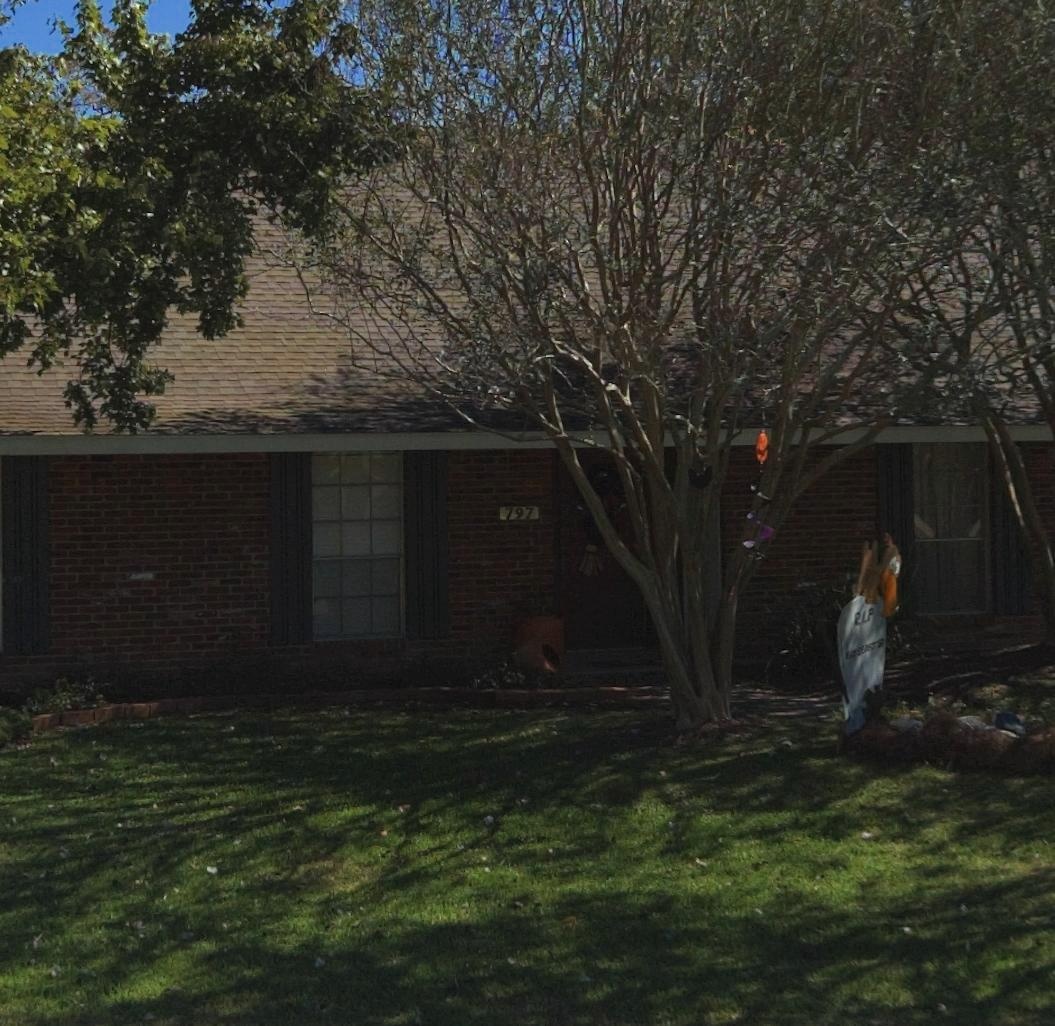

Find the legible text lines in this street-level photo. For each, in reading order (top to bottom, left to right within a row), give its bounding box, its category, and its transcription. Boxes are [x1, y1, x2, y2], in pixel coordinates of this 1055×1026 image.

[503, 505, 536, 522] StreetNumber: 797
[852, 603, 876, 630] None: RIP